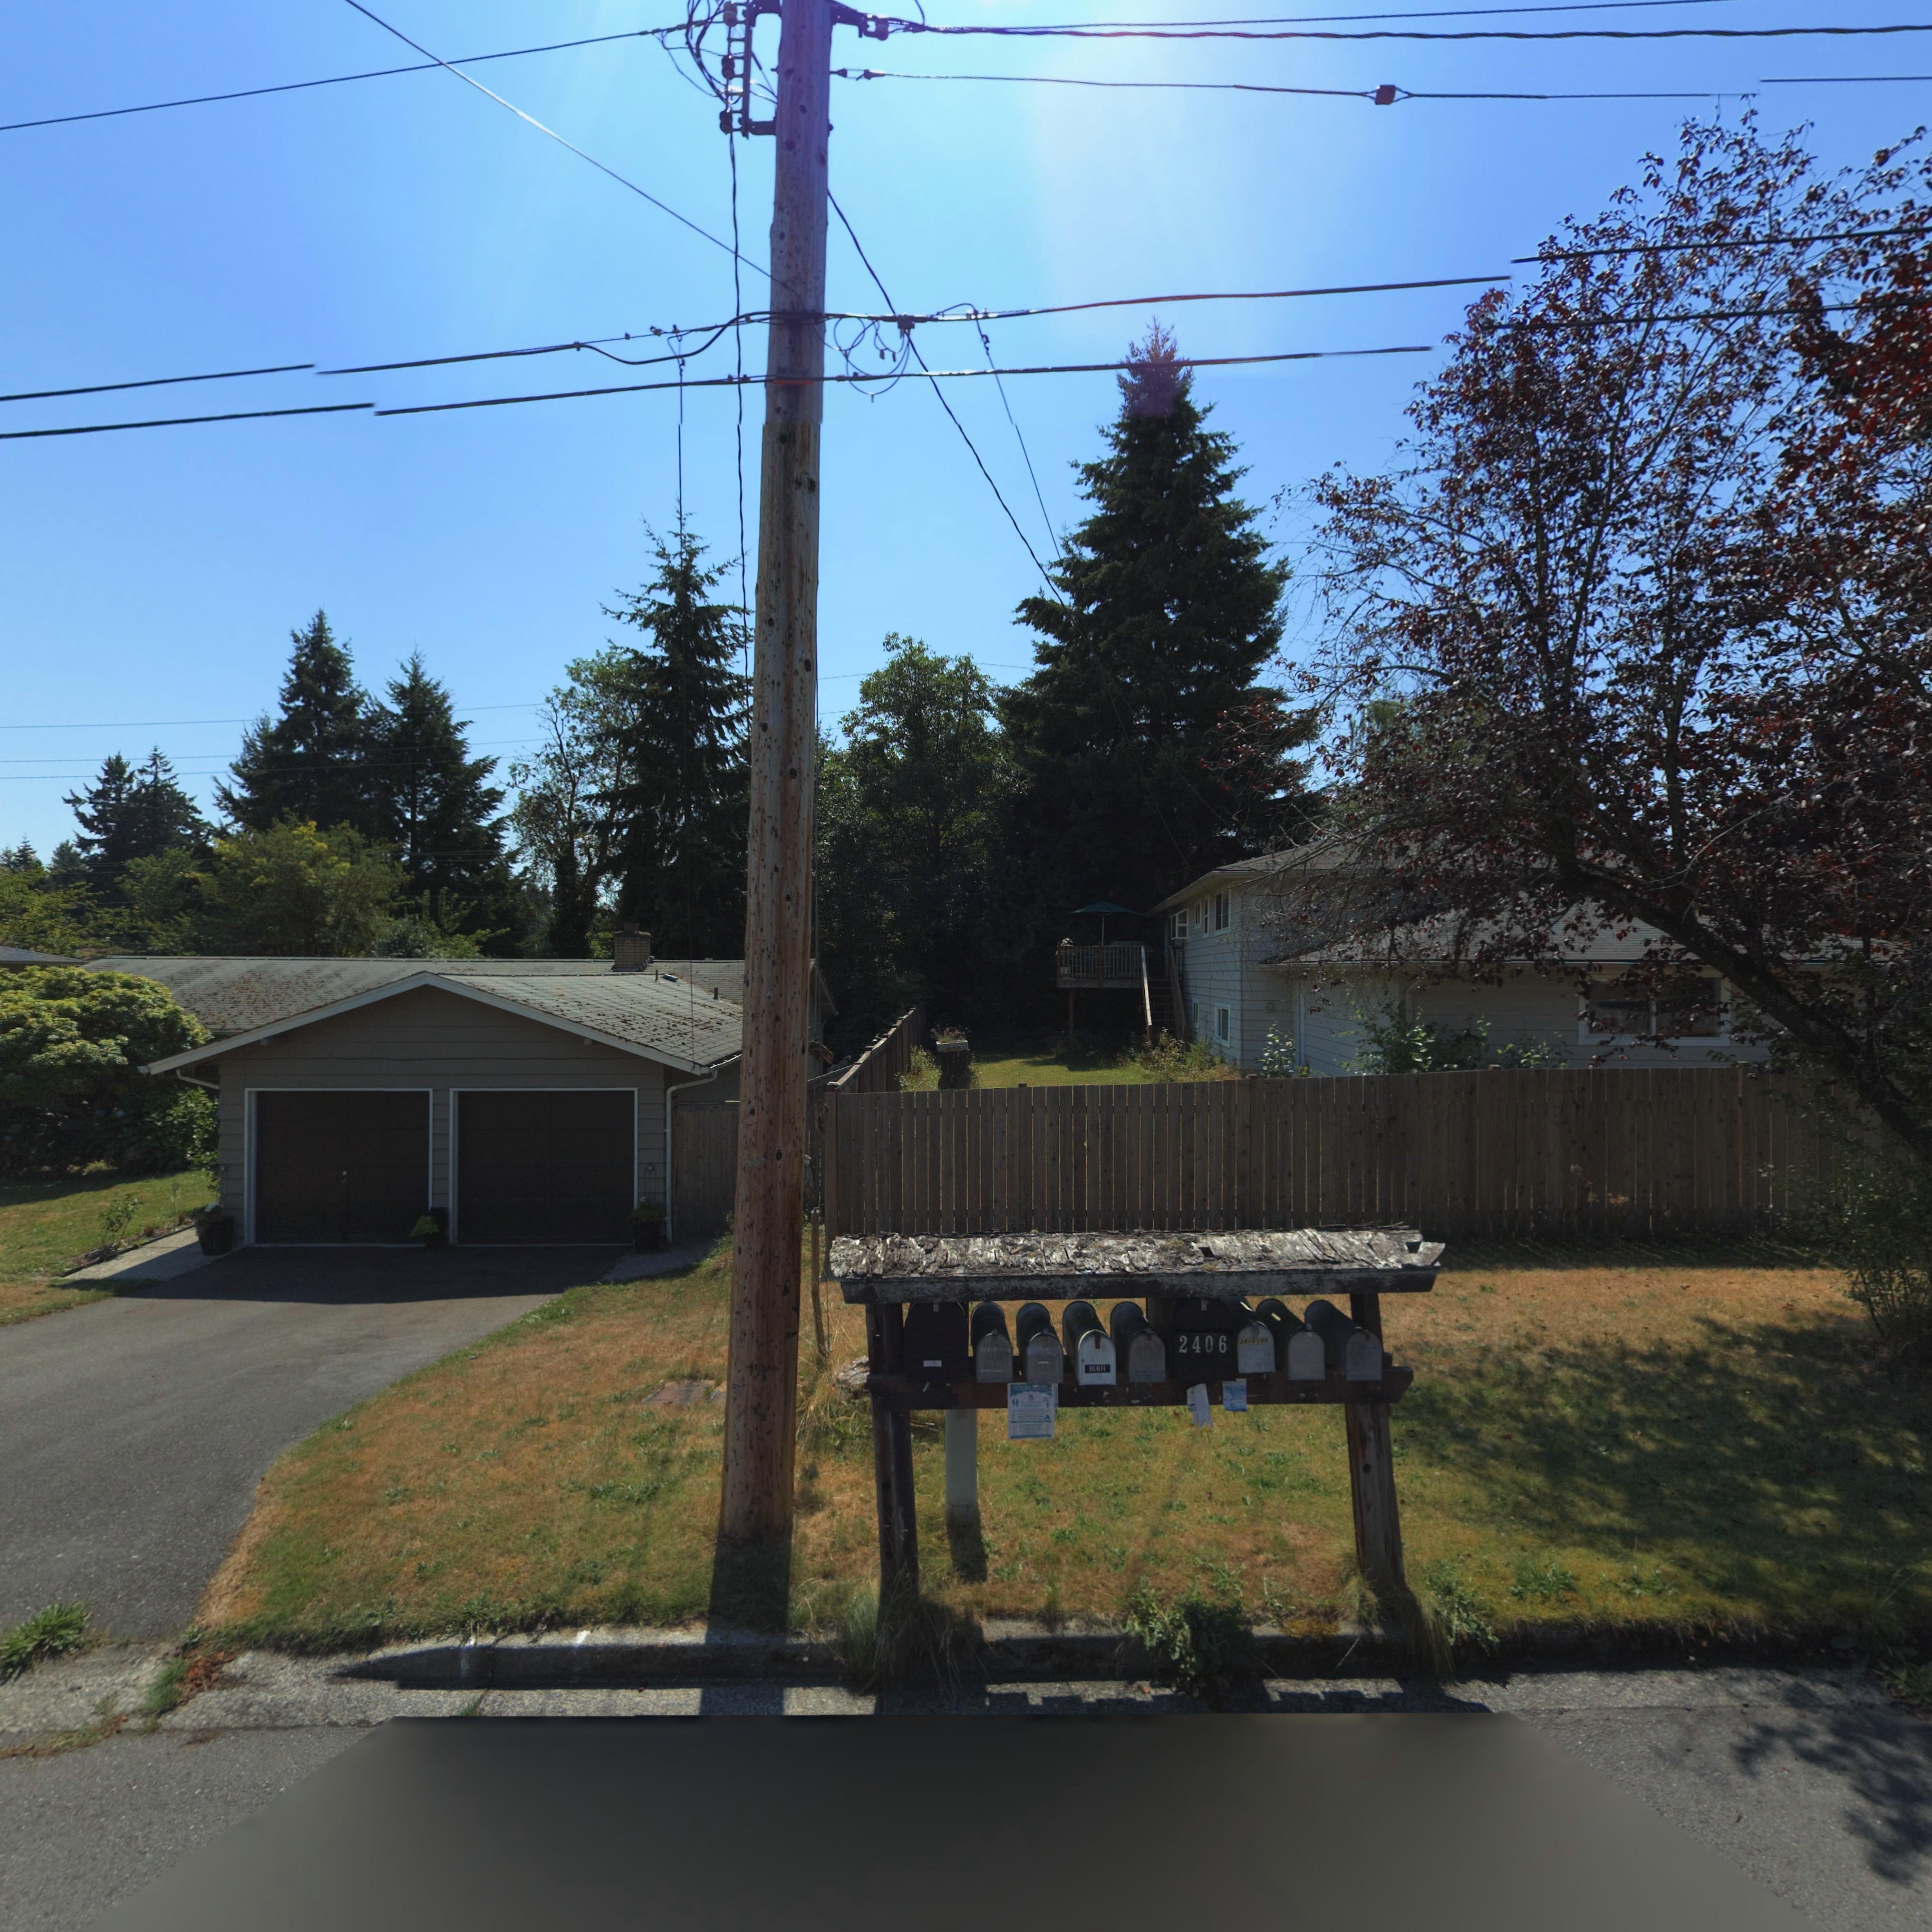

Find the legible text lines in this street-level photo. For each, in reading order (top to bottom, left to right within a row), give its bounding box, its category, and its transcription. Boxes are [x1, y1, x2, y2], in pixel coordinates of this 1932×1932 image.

[1179, 1335, 1226, 1352] StreetNumber: 2406
[1088, 1364, 1105, 1372] StreetNumber: 166*